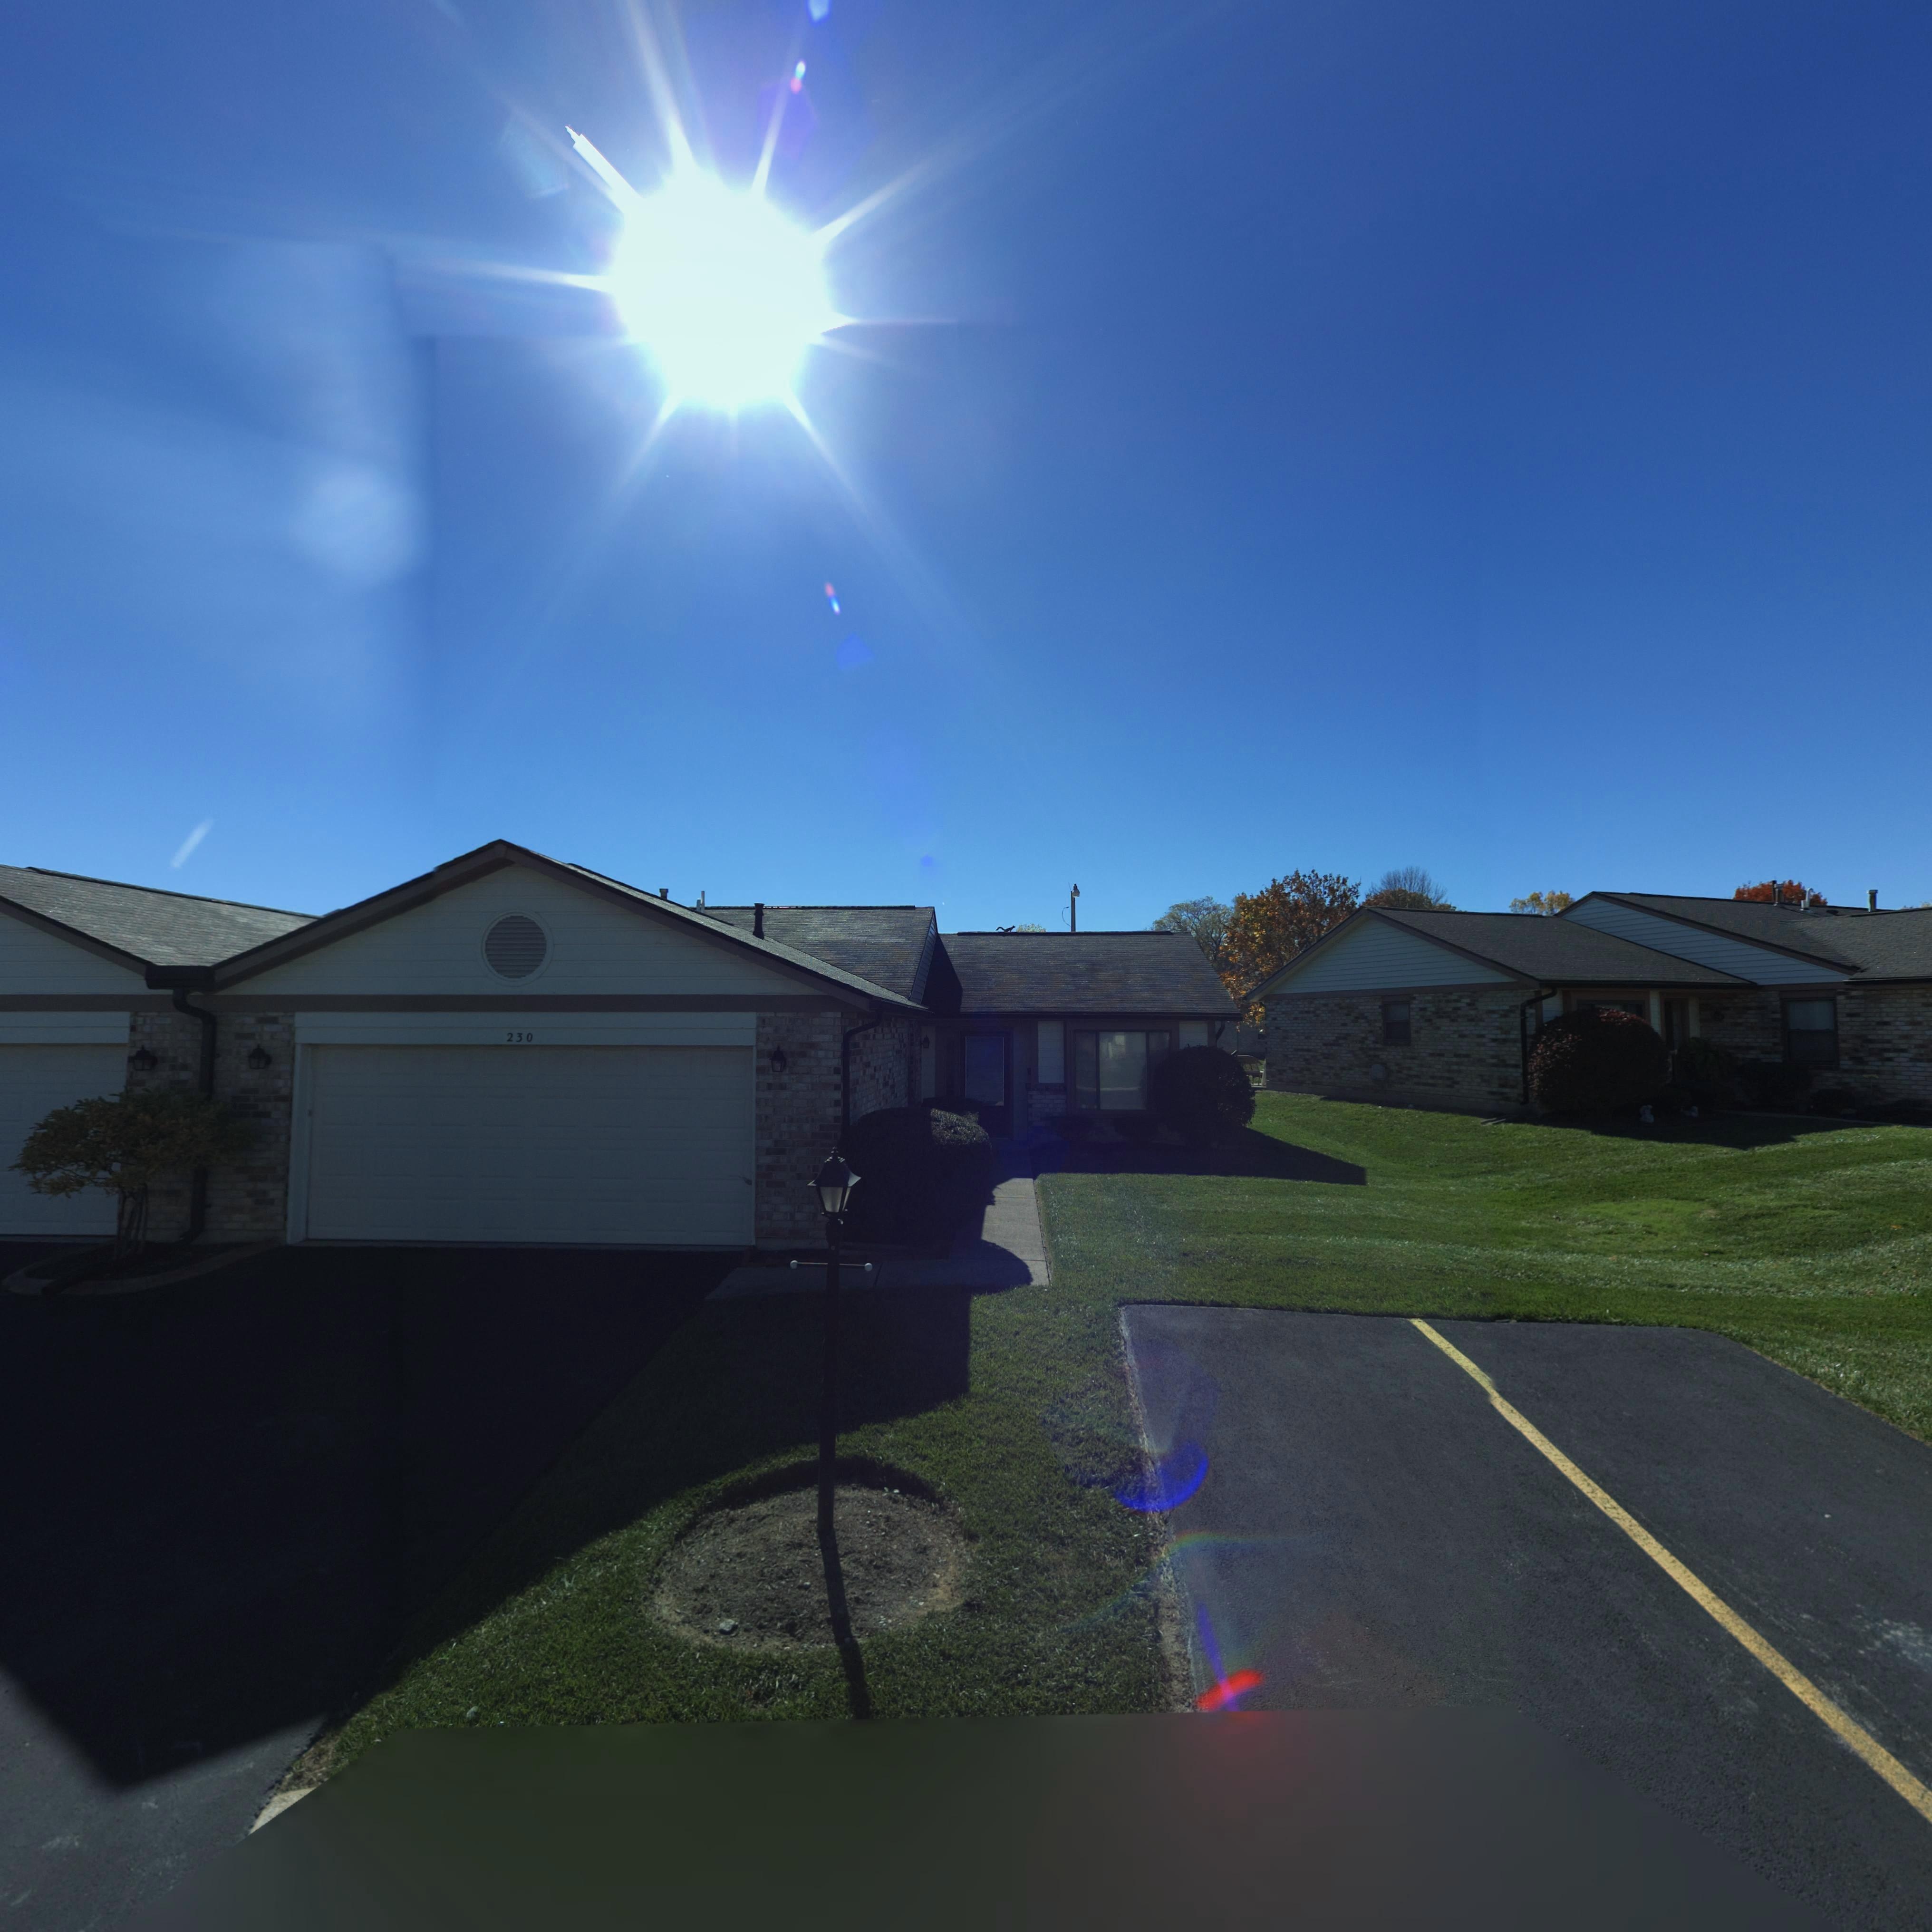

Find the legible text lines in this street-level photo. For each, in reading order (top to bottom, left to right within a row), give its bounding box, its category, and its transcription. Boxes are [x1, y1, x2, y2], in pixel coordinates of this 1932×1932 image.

[505, 1032, 534, 1043] StreetNumber: 230